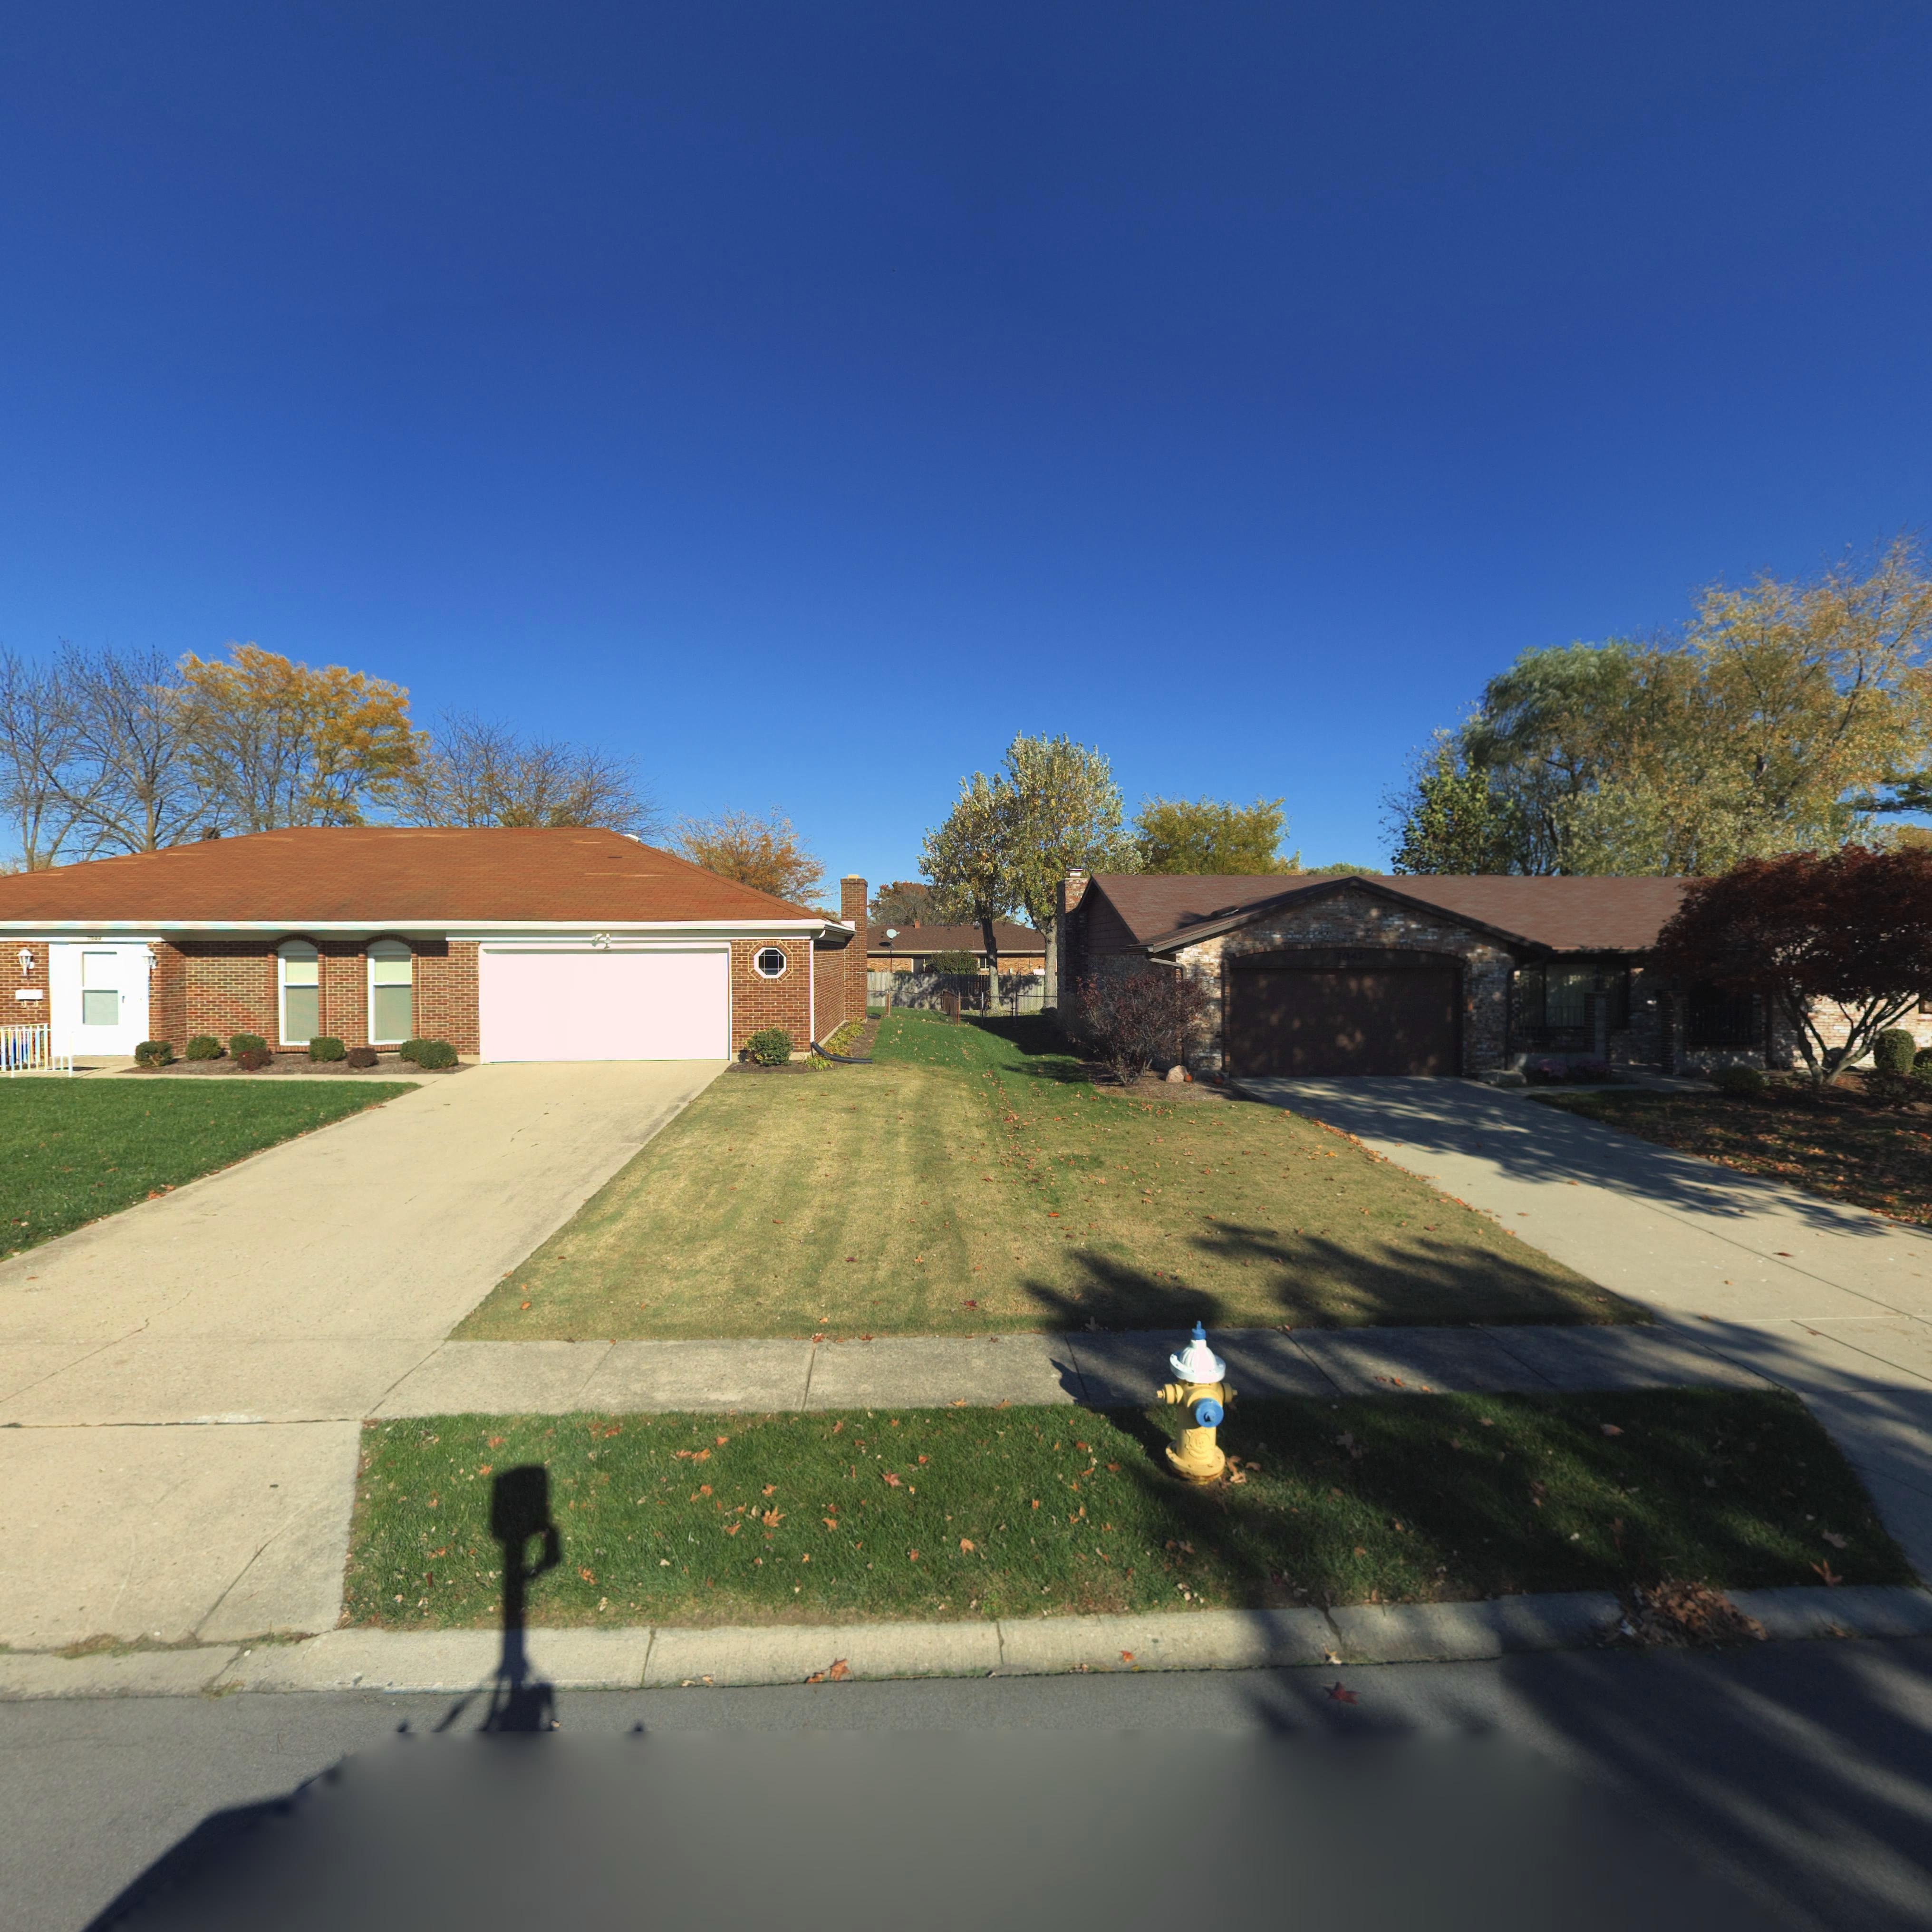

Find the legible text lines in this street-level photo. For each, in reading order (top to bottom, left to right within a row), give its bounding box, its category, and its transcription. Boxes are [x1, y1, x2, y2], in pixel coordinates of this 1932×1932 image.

[86, 935, 102, 941] StreetNumber: 7044
[1336, 951, 1363, 961] StreetNumber: 7042